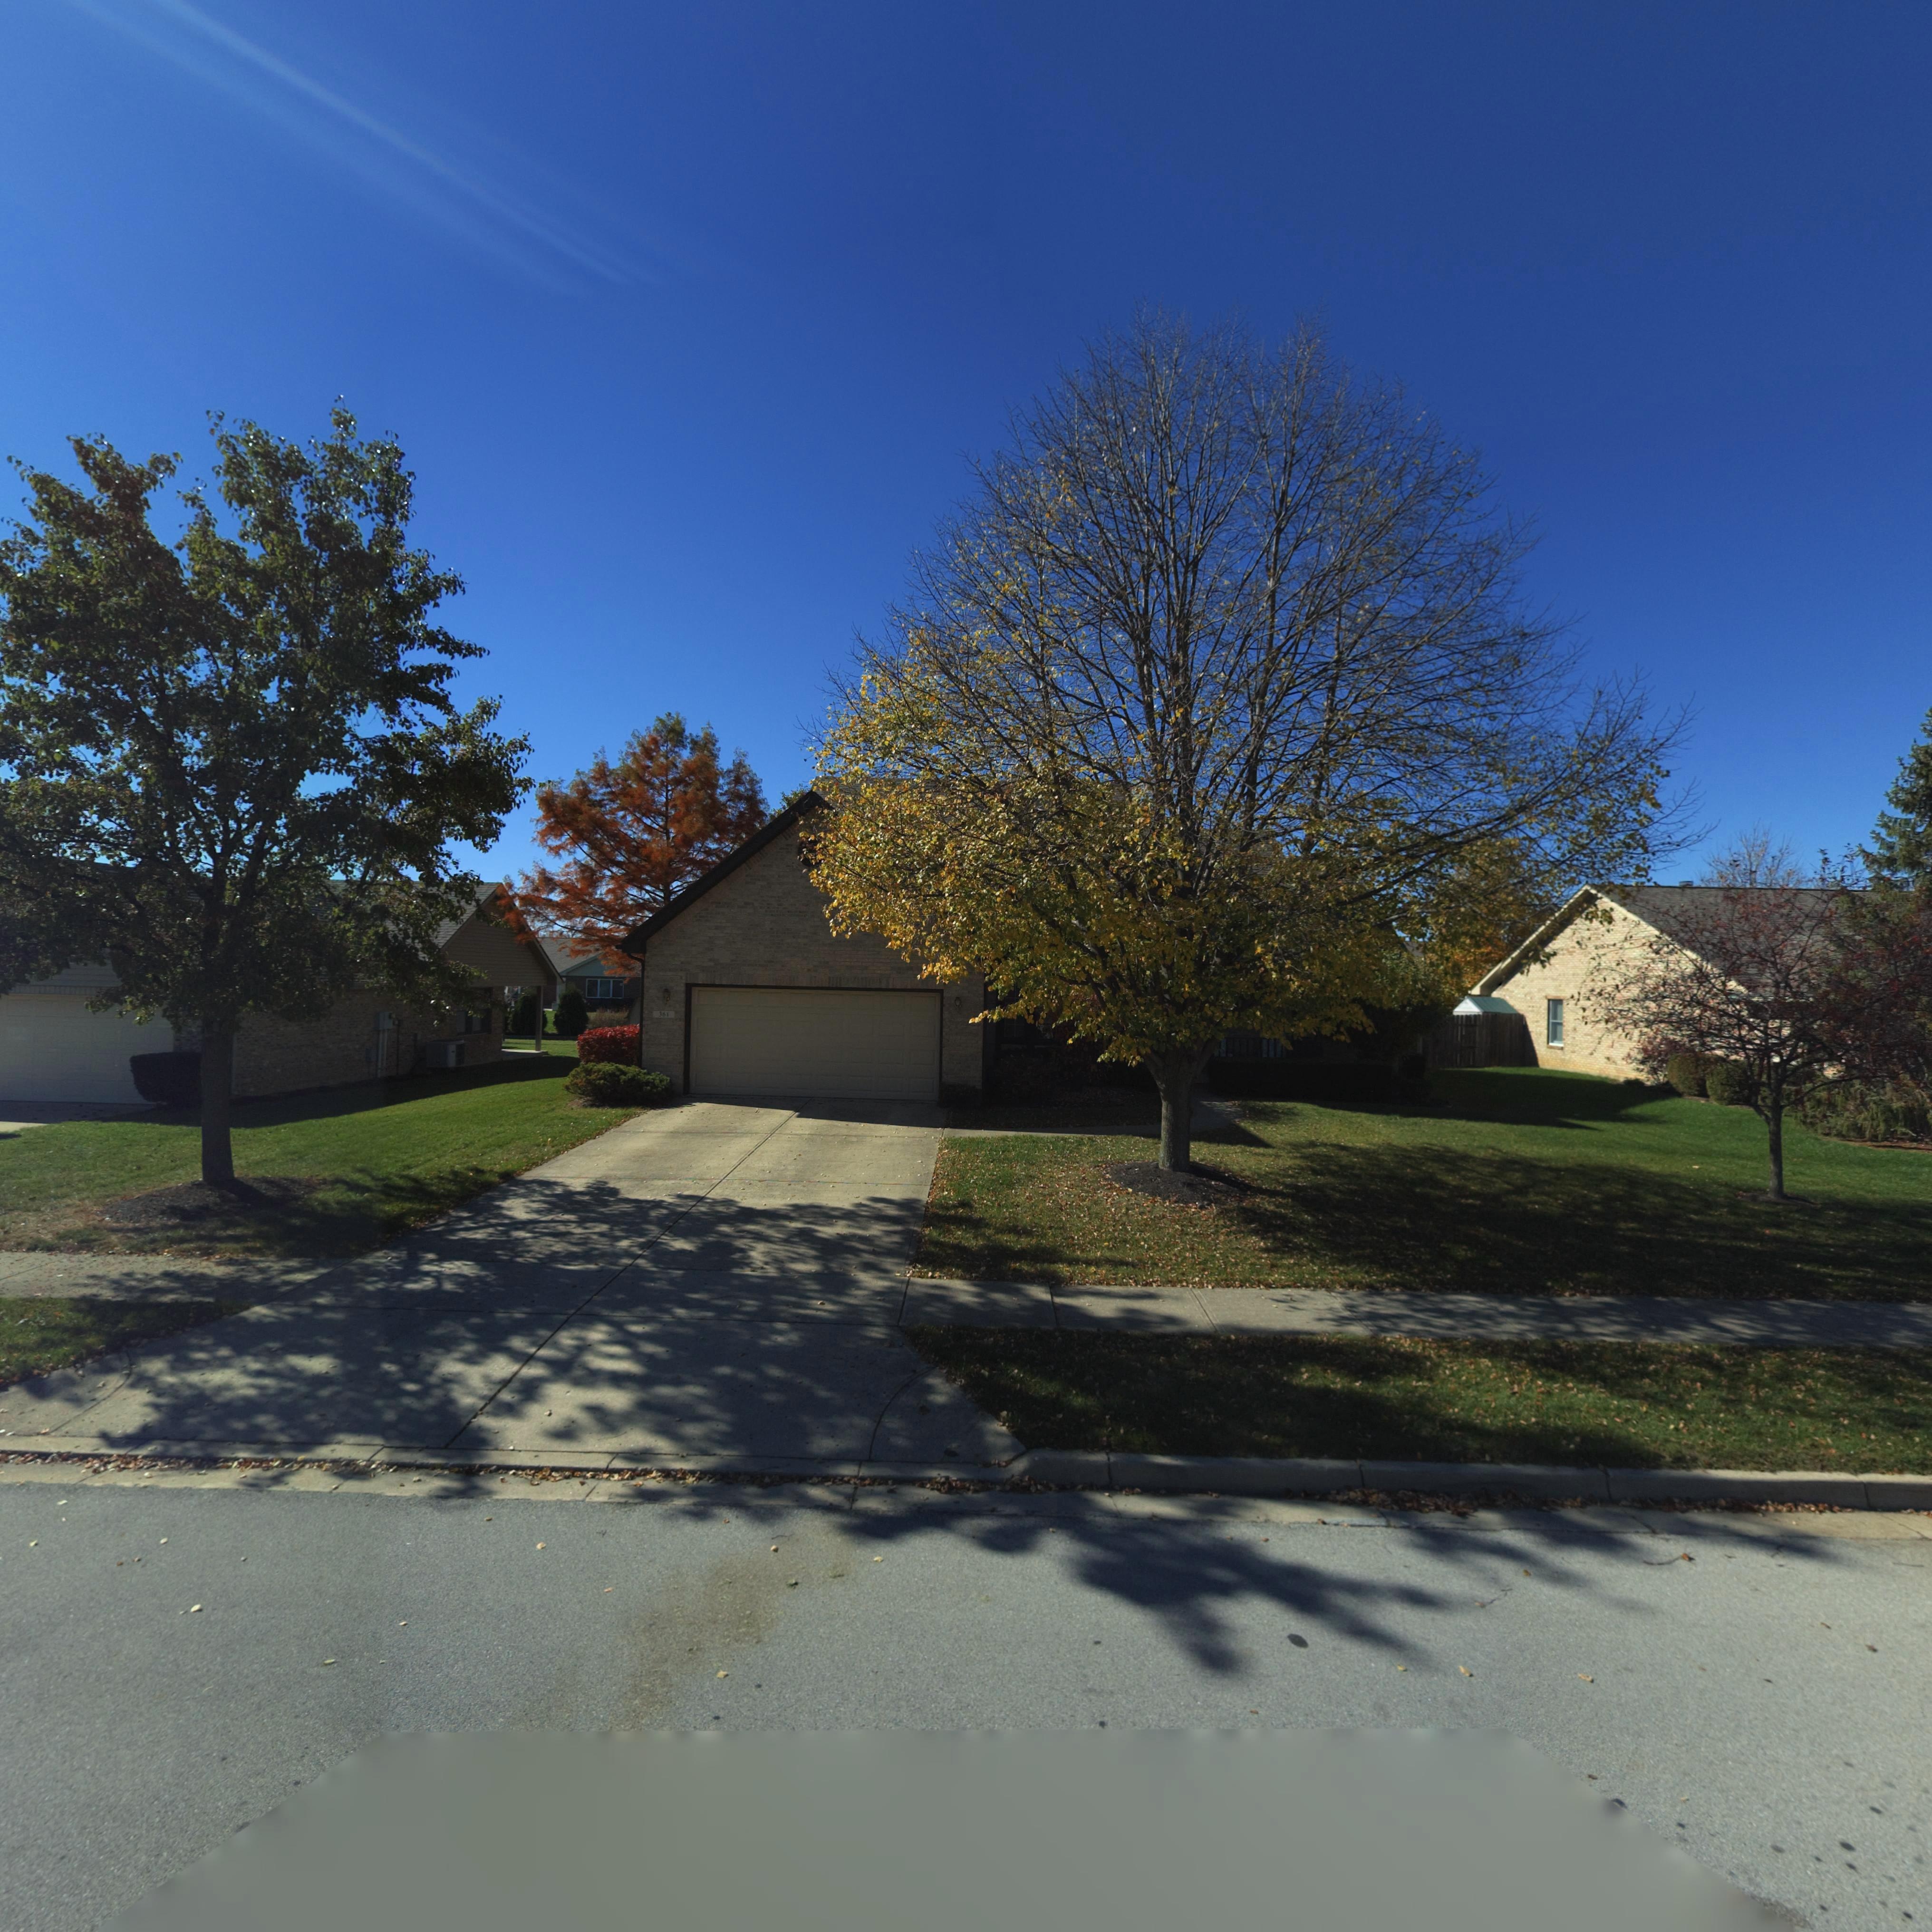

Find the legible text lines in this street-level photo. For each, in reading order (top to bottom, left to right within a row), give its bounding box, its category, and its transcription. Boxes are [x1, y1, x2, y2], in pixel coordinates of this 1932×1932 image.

[658, 1011, 670, 1018] StreetNumber: 361